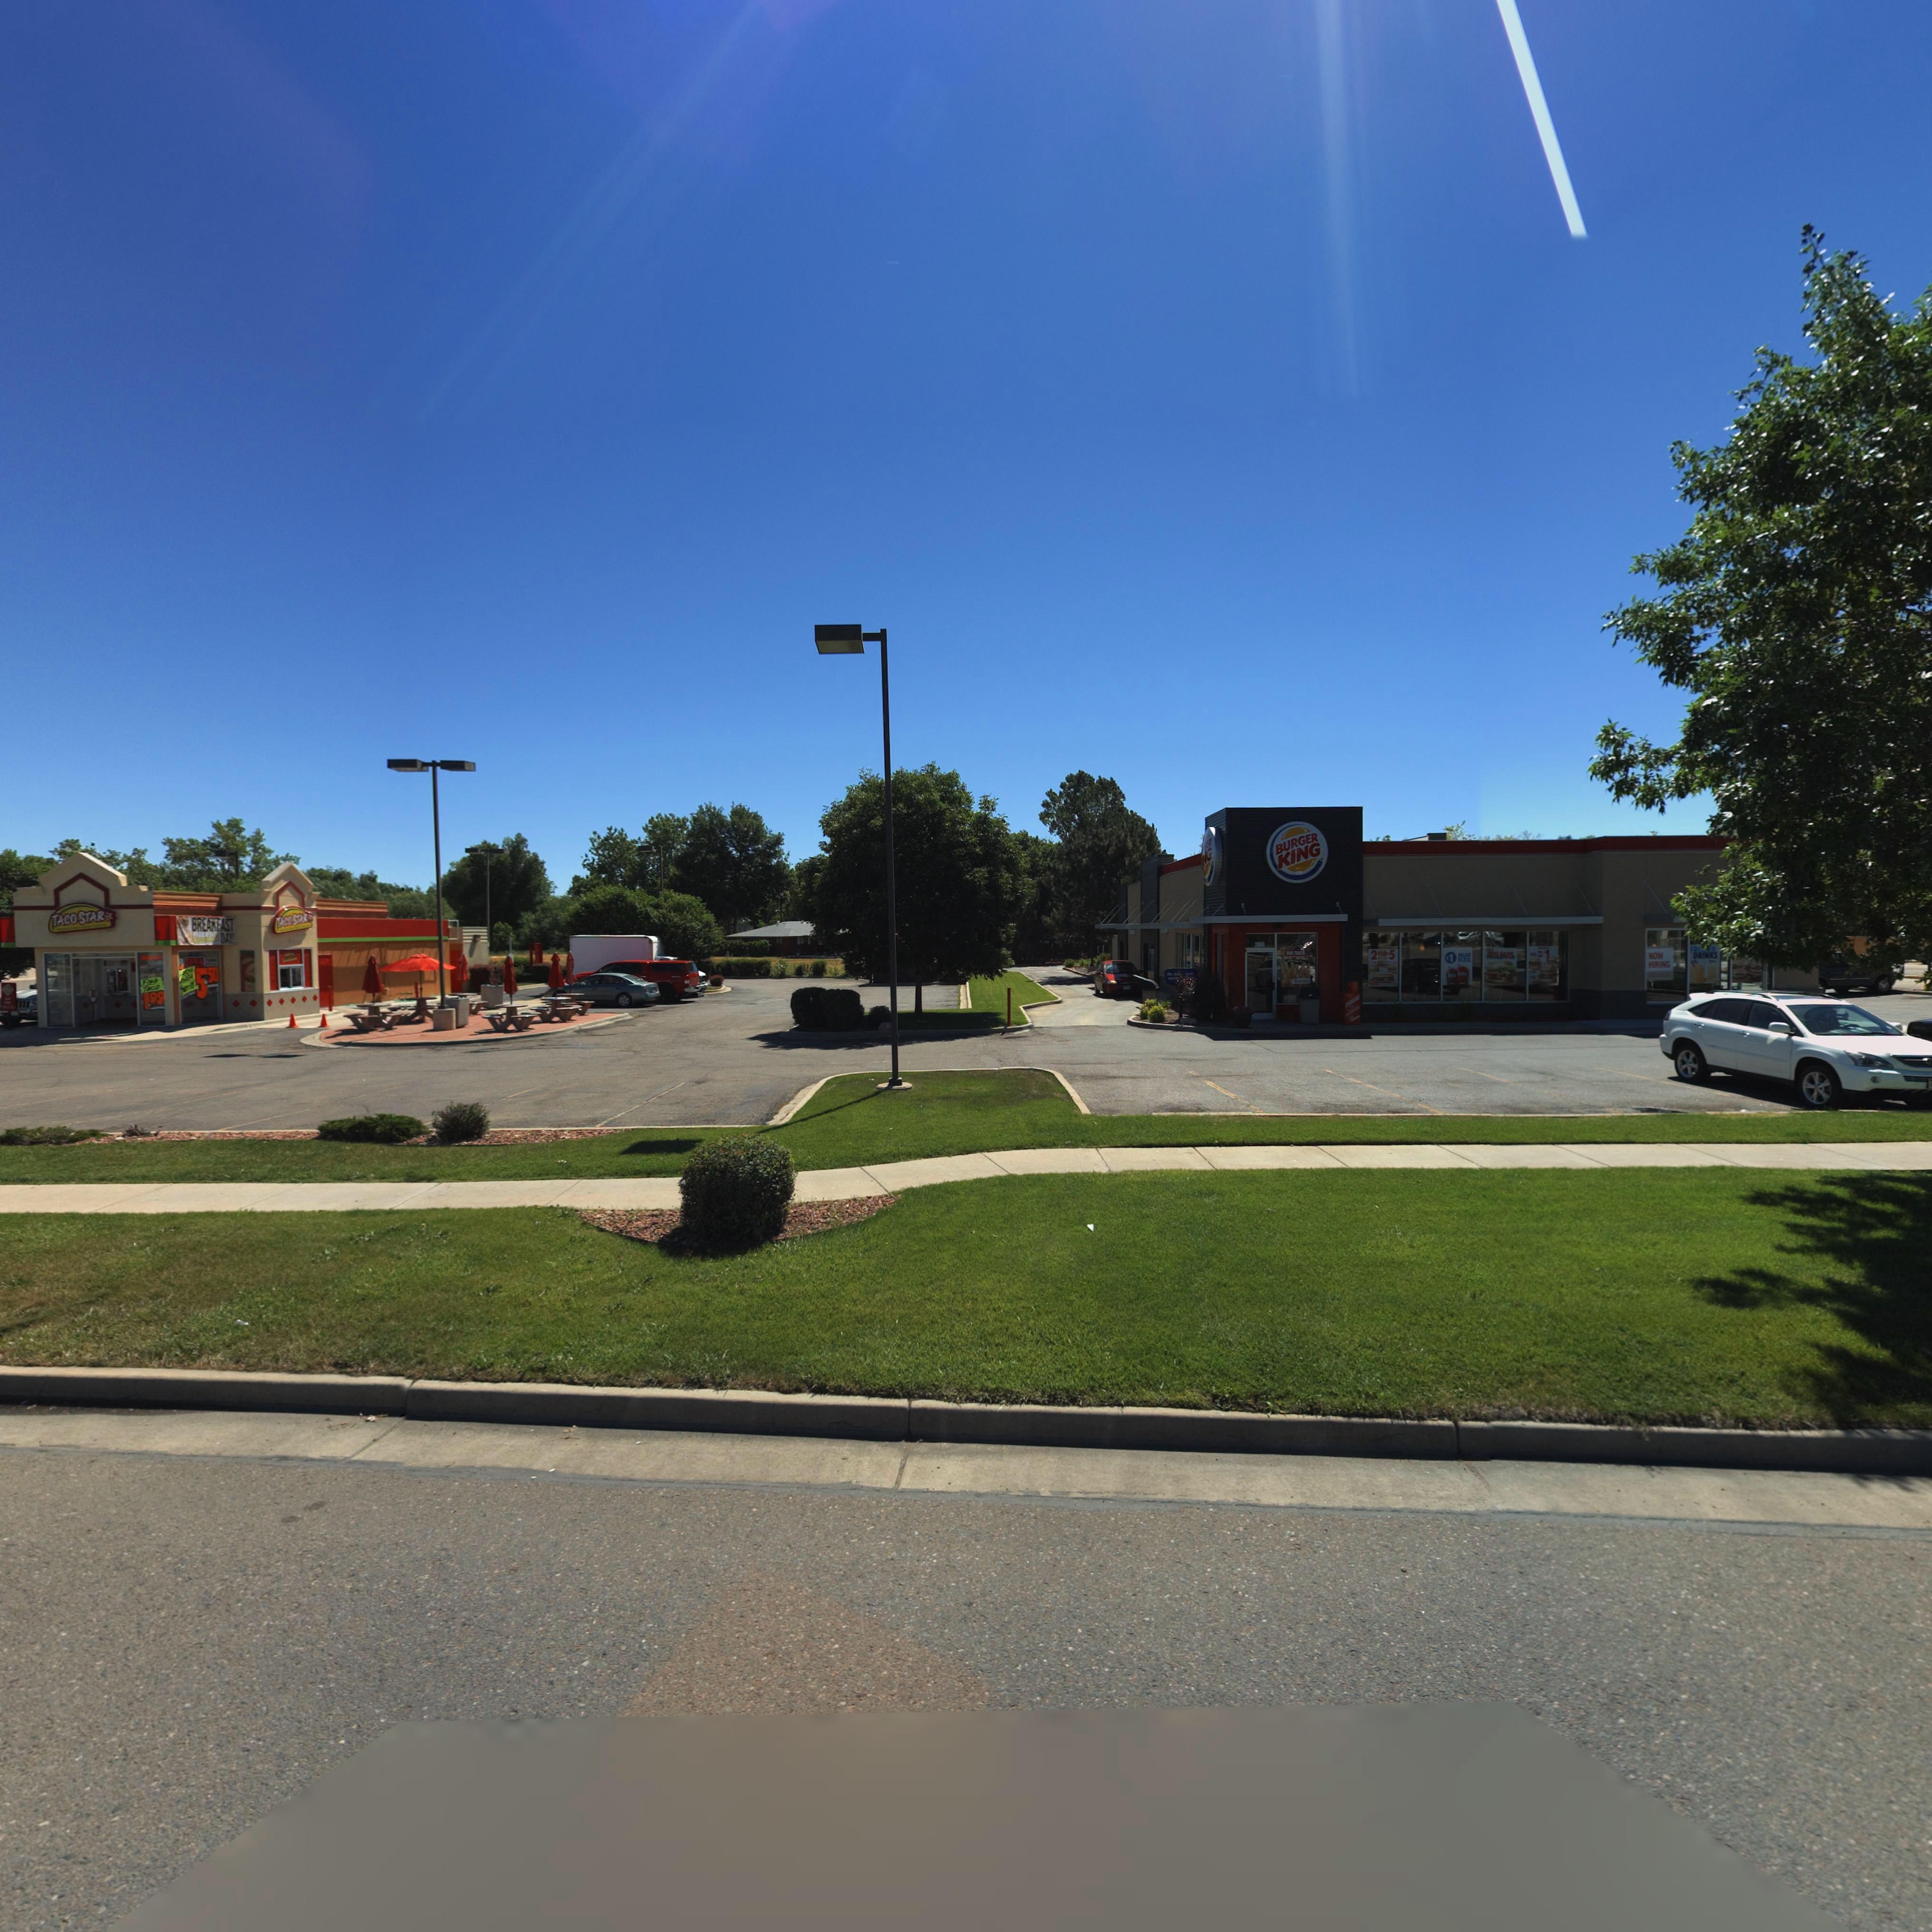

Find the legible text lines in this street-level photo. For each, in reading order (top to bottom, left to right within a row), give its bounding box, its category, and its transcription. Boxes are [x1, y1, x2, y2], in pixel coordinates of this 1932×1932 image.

[1203, 837, 1212, 851] BusinessName: GER
[1275, 832, 1319, 856] BusinessName: BURGER
[1202, 846, 1212, 867] StreetNumber: NG
[1278, 842, 1320, 871] BusinessName: KING
[50, 909, 105, 927] BusinessName: TACO STAR
[275, 912, 309, 928] BusinessName: TACO STAR
[1254, 941, 1265, 947] StreetNumber: 2*0*